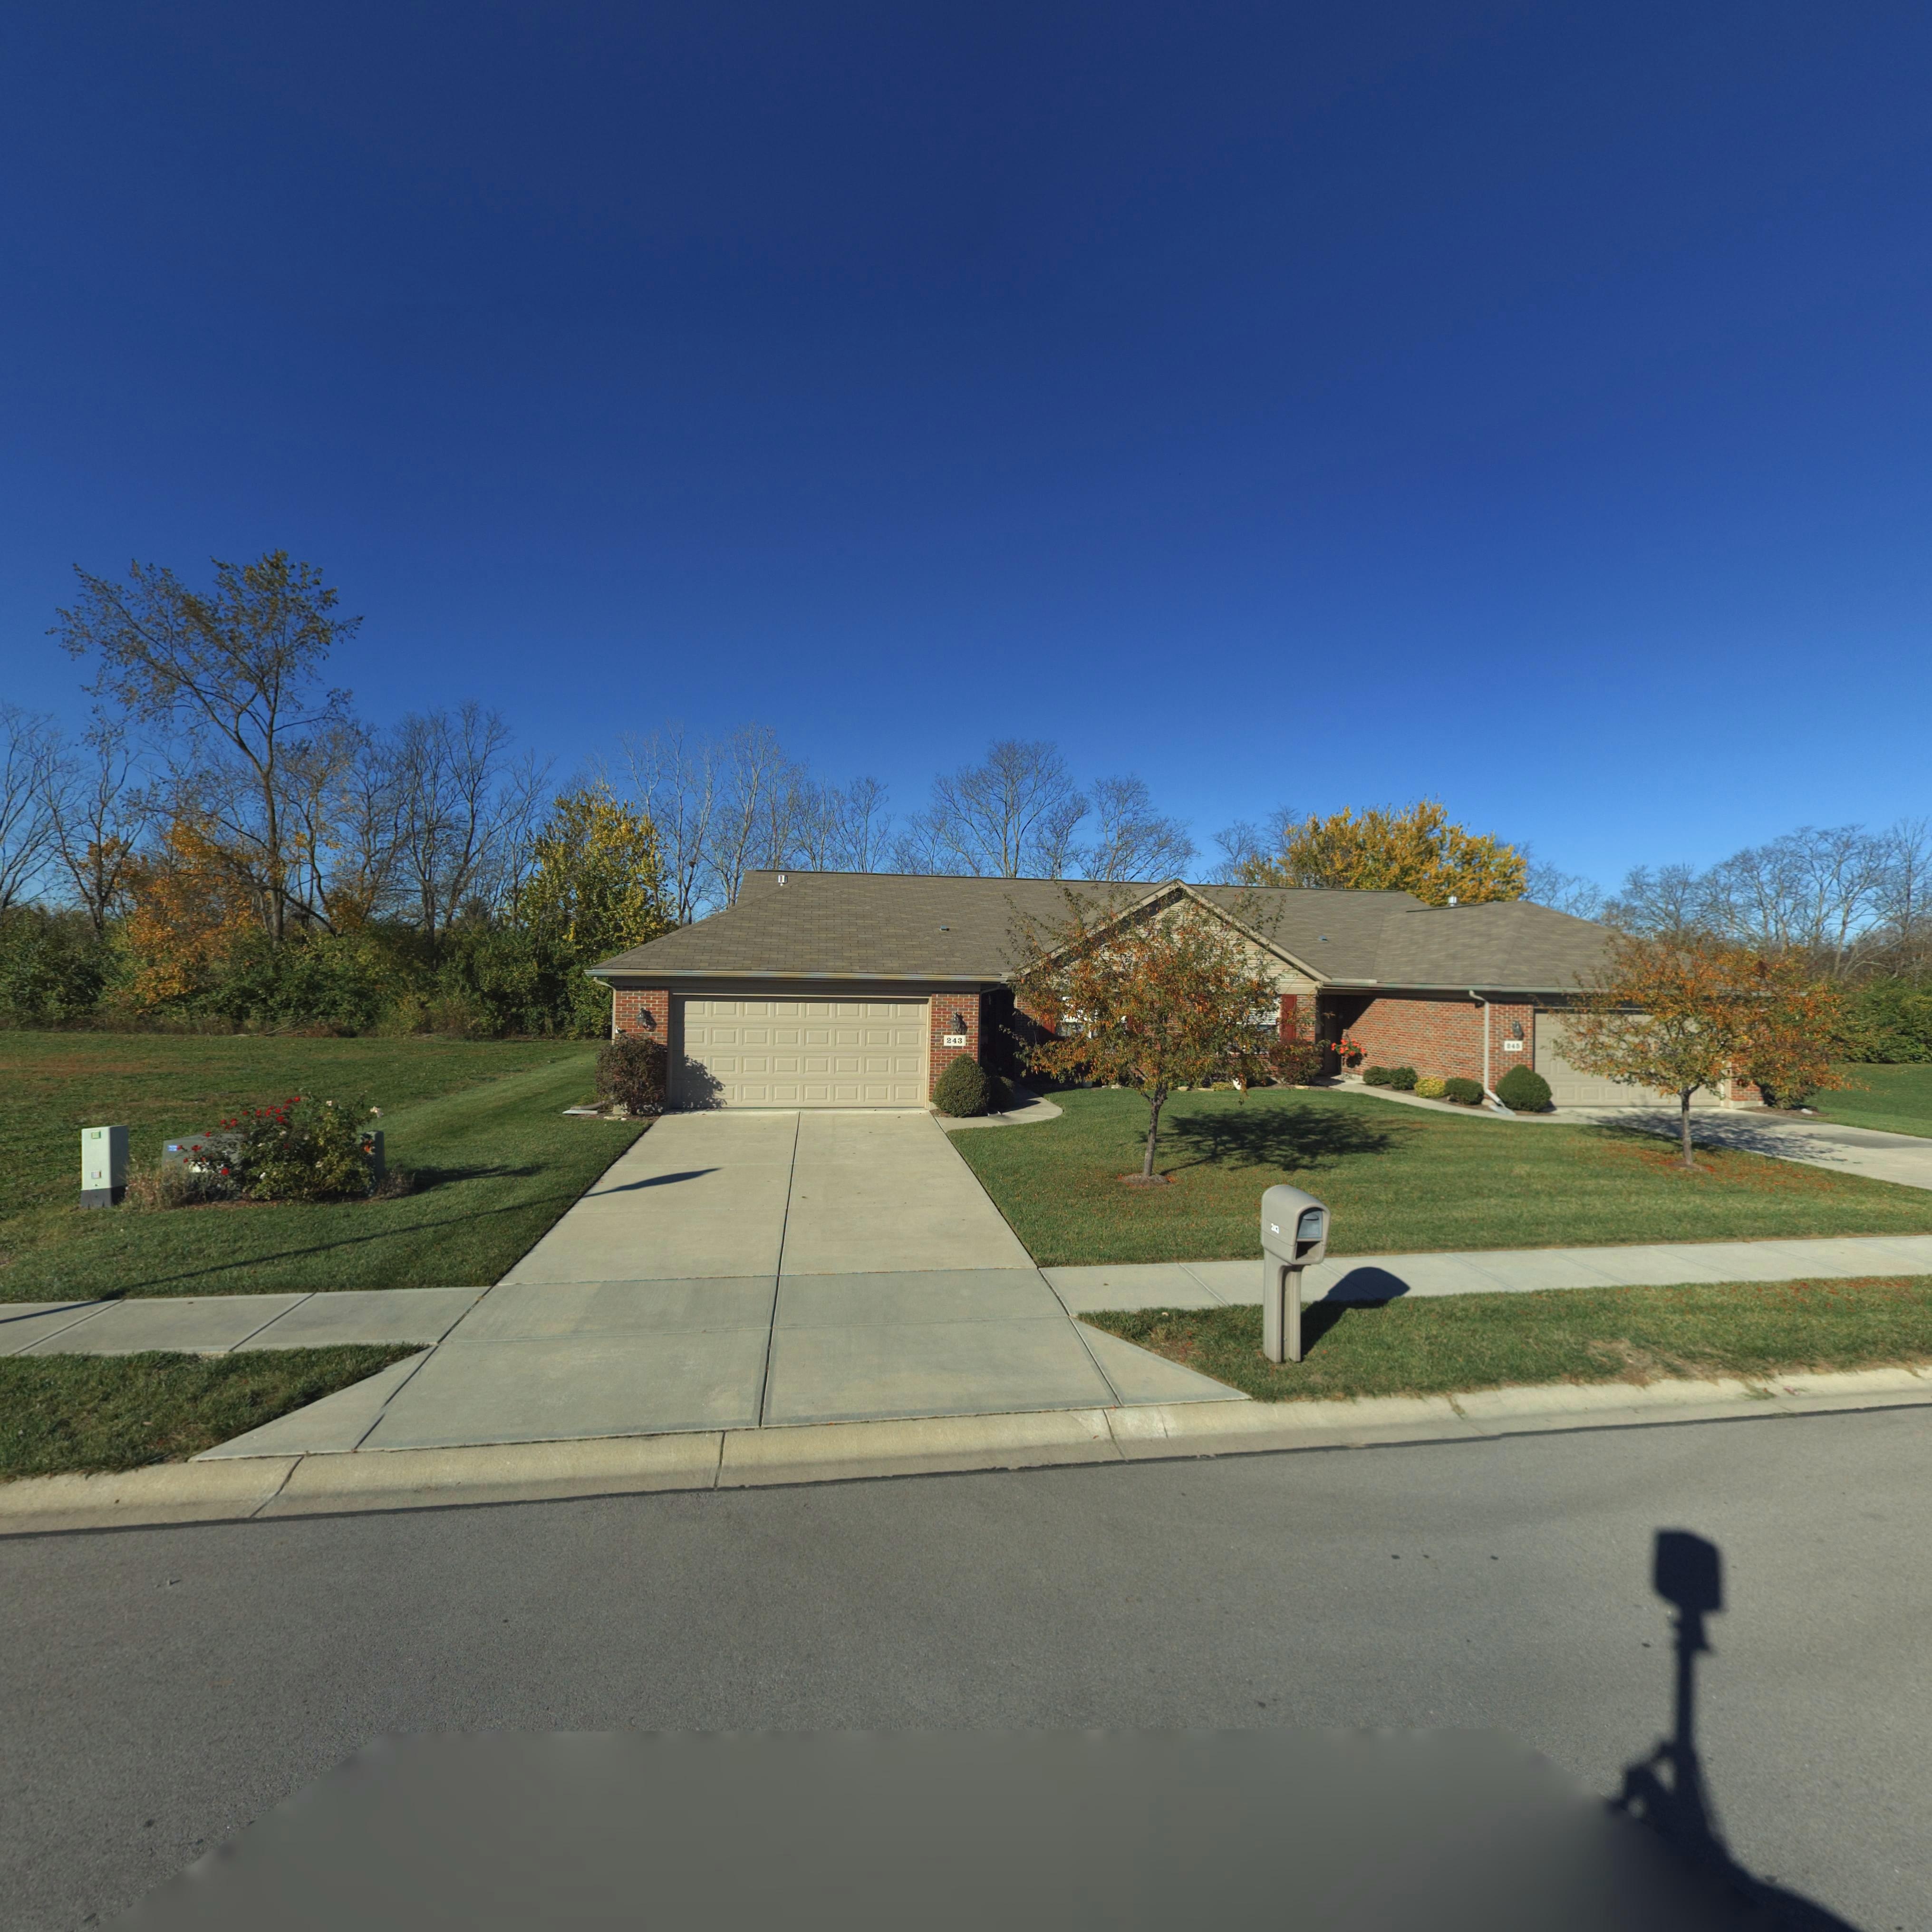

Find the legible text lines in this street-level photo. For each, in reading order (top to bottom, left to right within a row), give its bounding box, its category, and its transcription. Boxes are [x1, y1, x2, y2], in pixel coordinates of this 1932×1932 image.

[946, 1036, 964, 1045] StreetNumber: 243
[1506, 1042, 1521, 1050] StreetNumber: 245